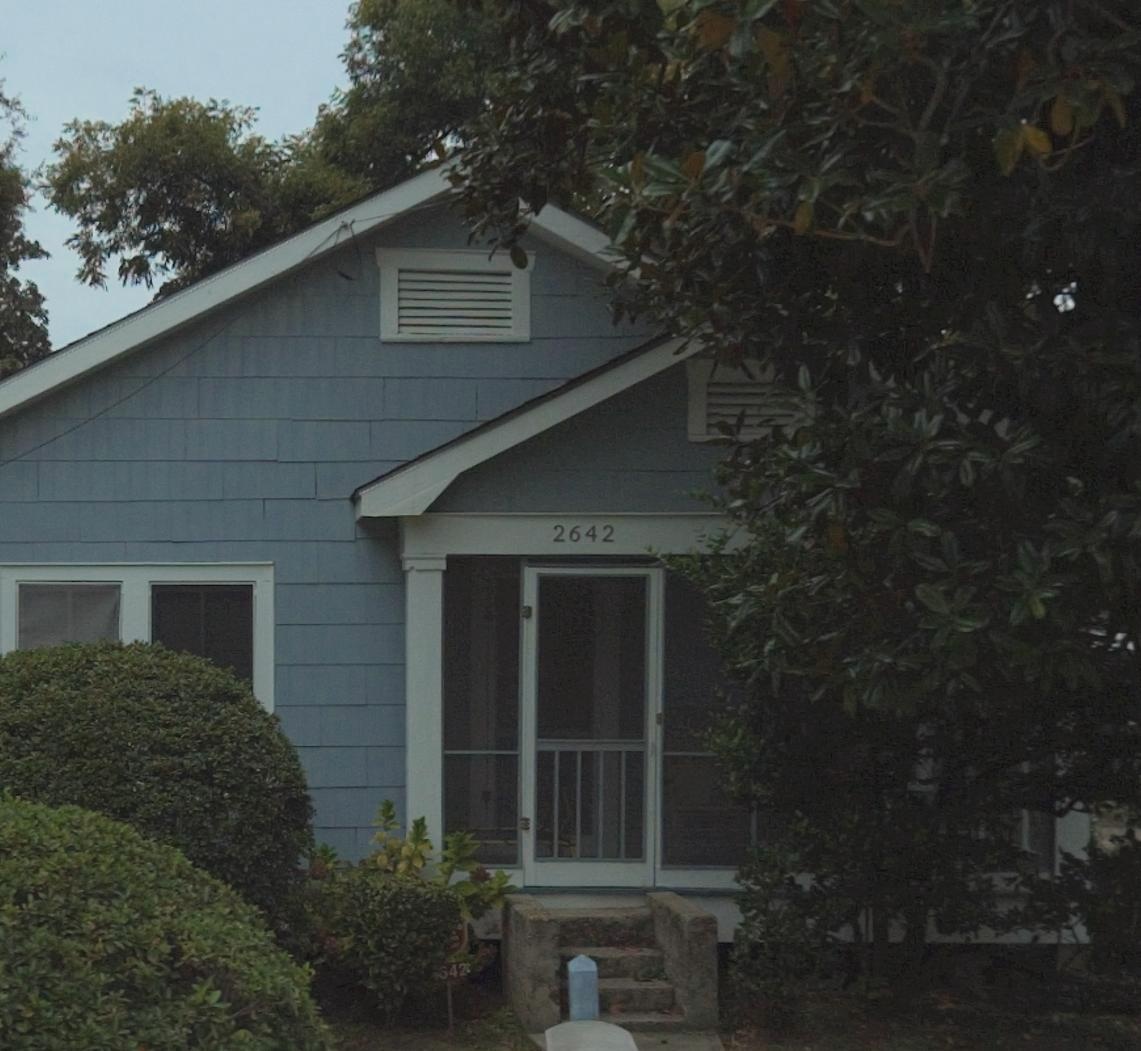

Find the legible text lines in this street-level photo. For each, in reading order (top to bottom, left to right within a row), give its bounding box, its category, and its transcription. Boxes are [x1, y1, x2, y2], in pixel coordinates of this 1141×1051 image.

[552, 523, 616, 544] StreetNumber: 2642
[436, 962, 469, 980] StreetNumber: 642